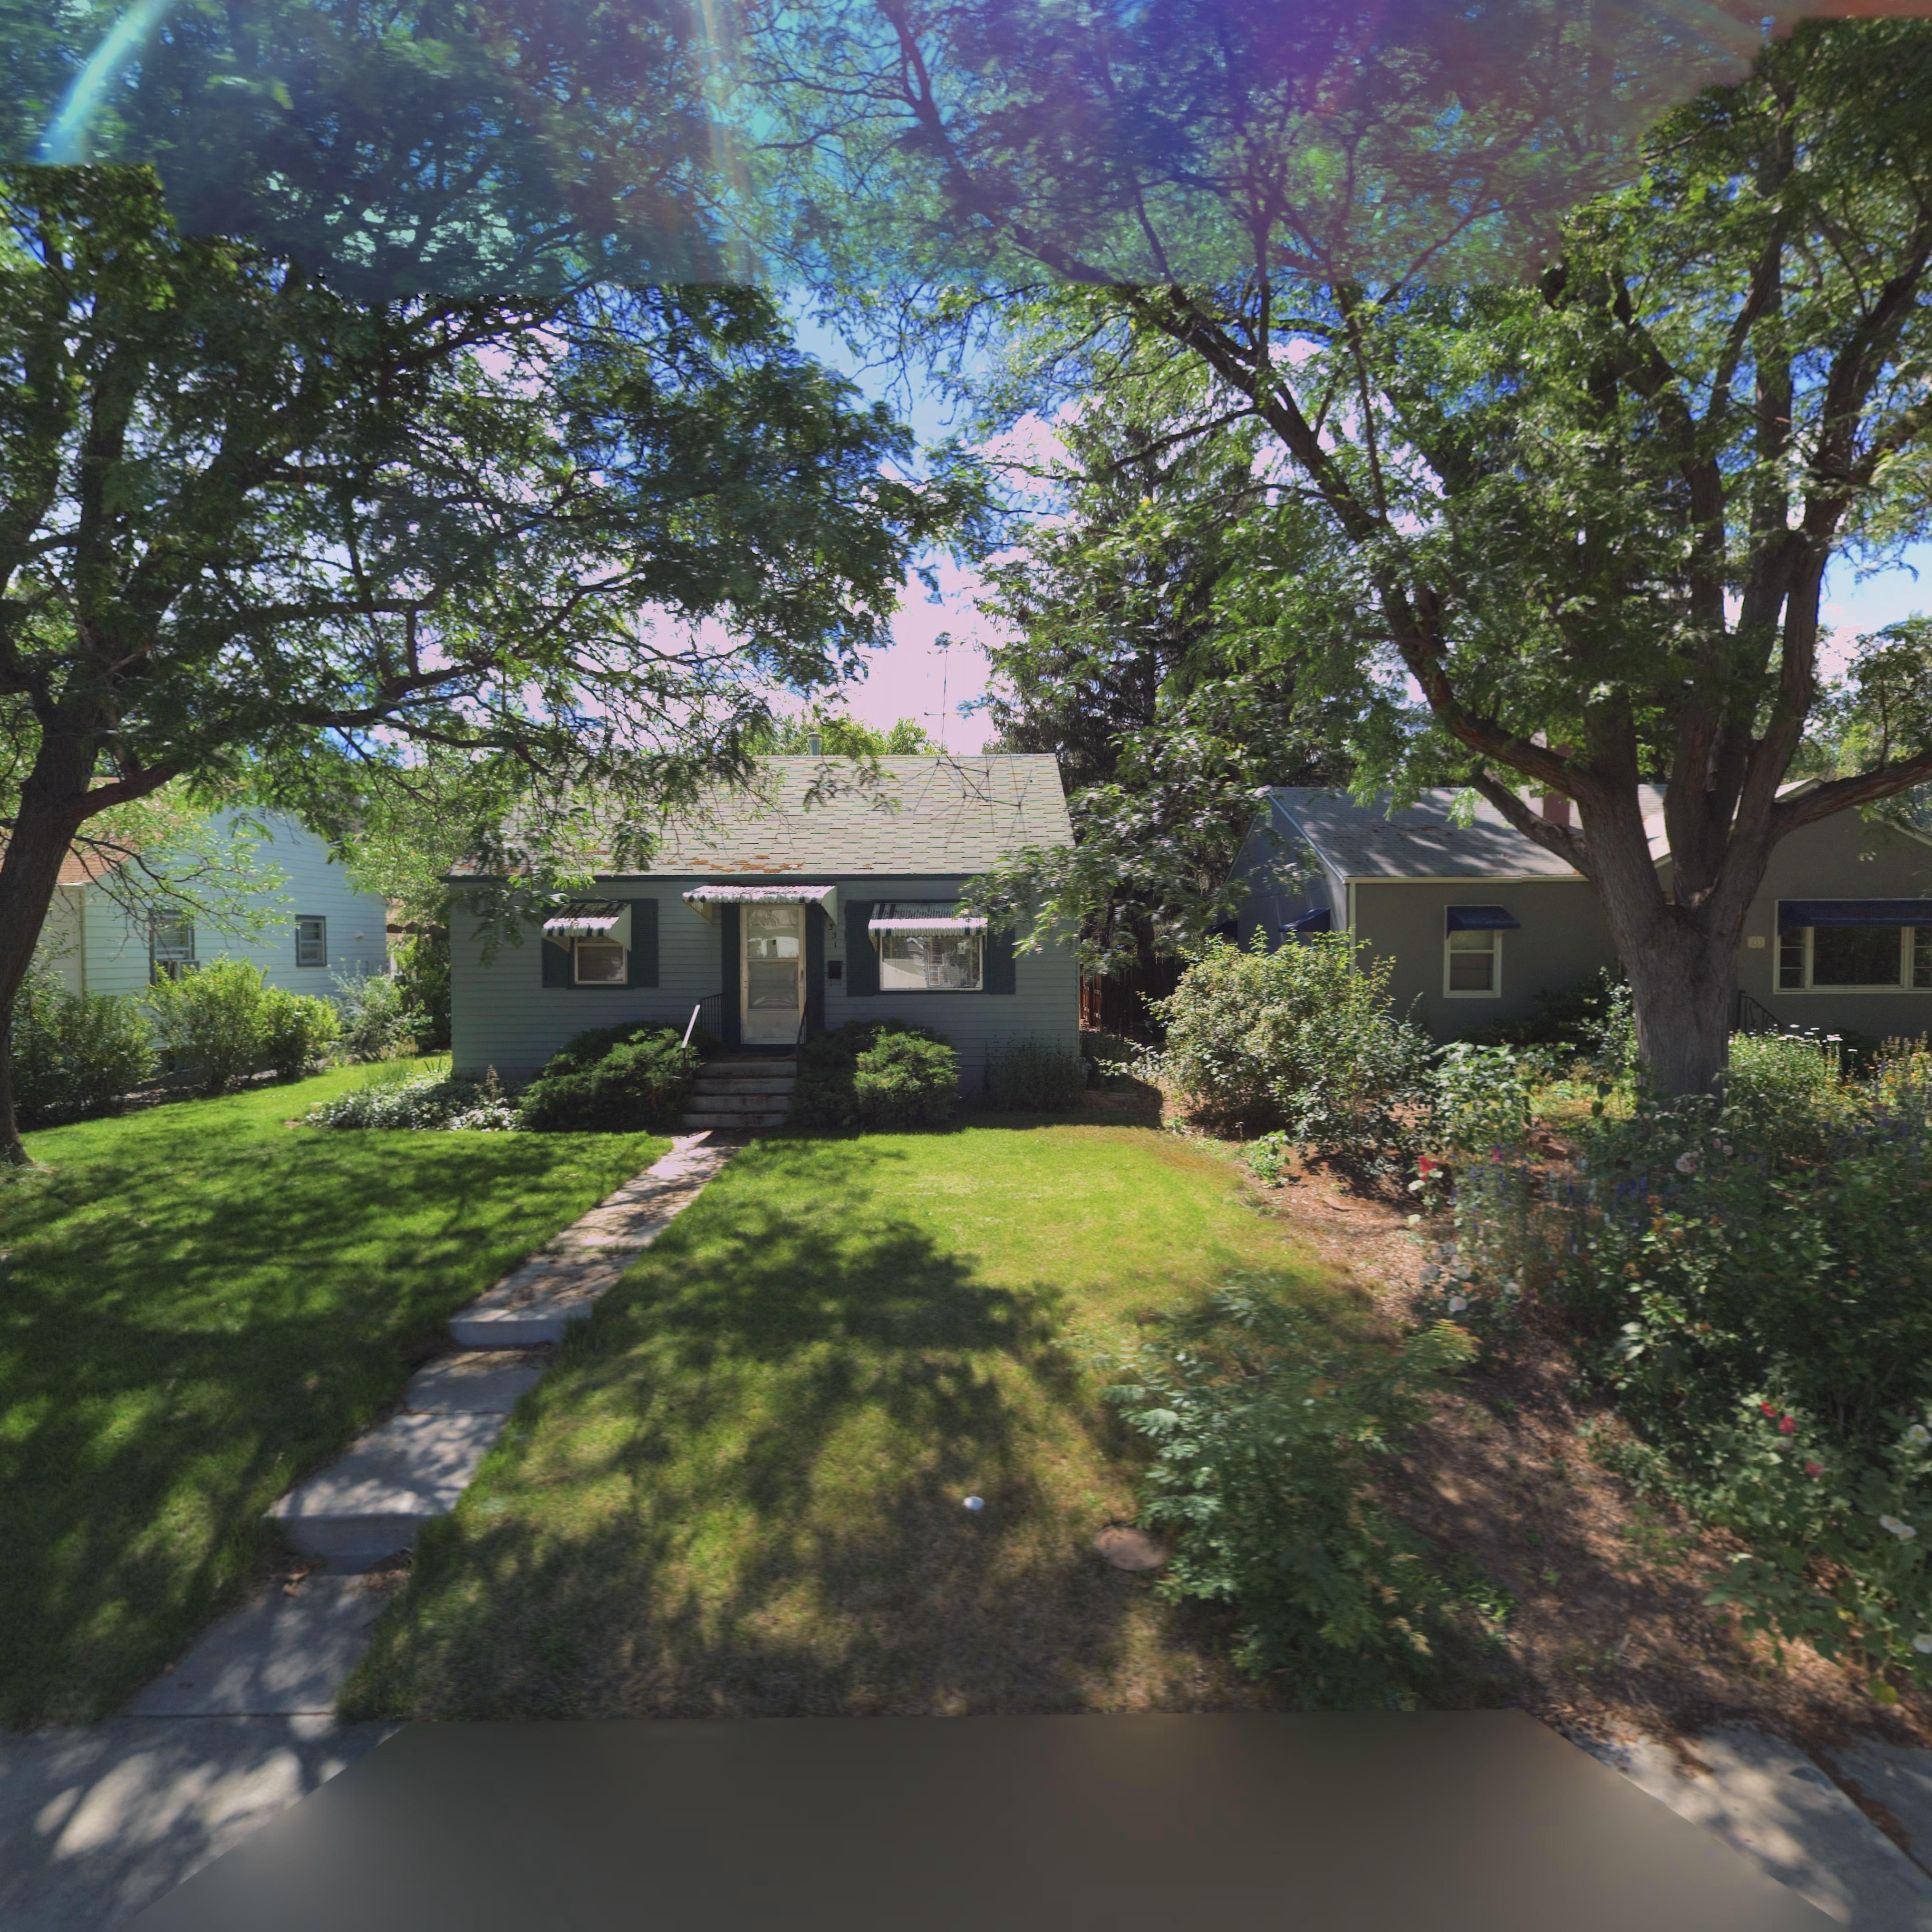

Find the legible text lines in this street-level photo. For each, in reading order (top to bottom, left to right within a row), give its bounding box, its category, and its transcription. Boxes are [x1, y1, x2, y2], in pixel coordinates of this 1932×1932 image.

[826, 922, 838, 948] StreetNumber: 331
[1749, 939, 1763, 945] StreetNumber: 335